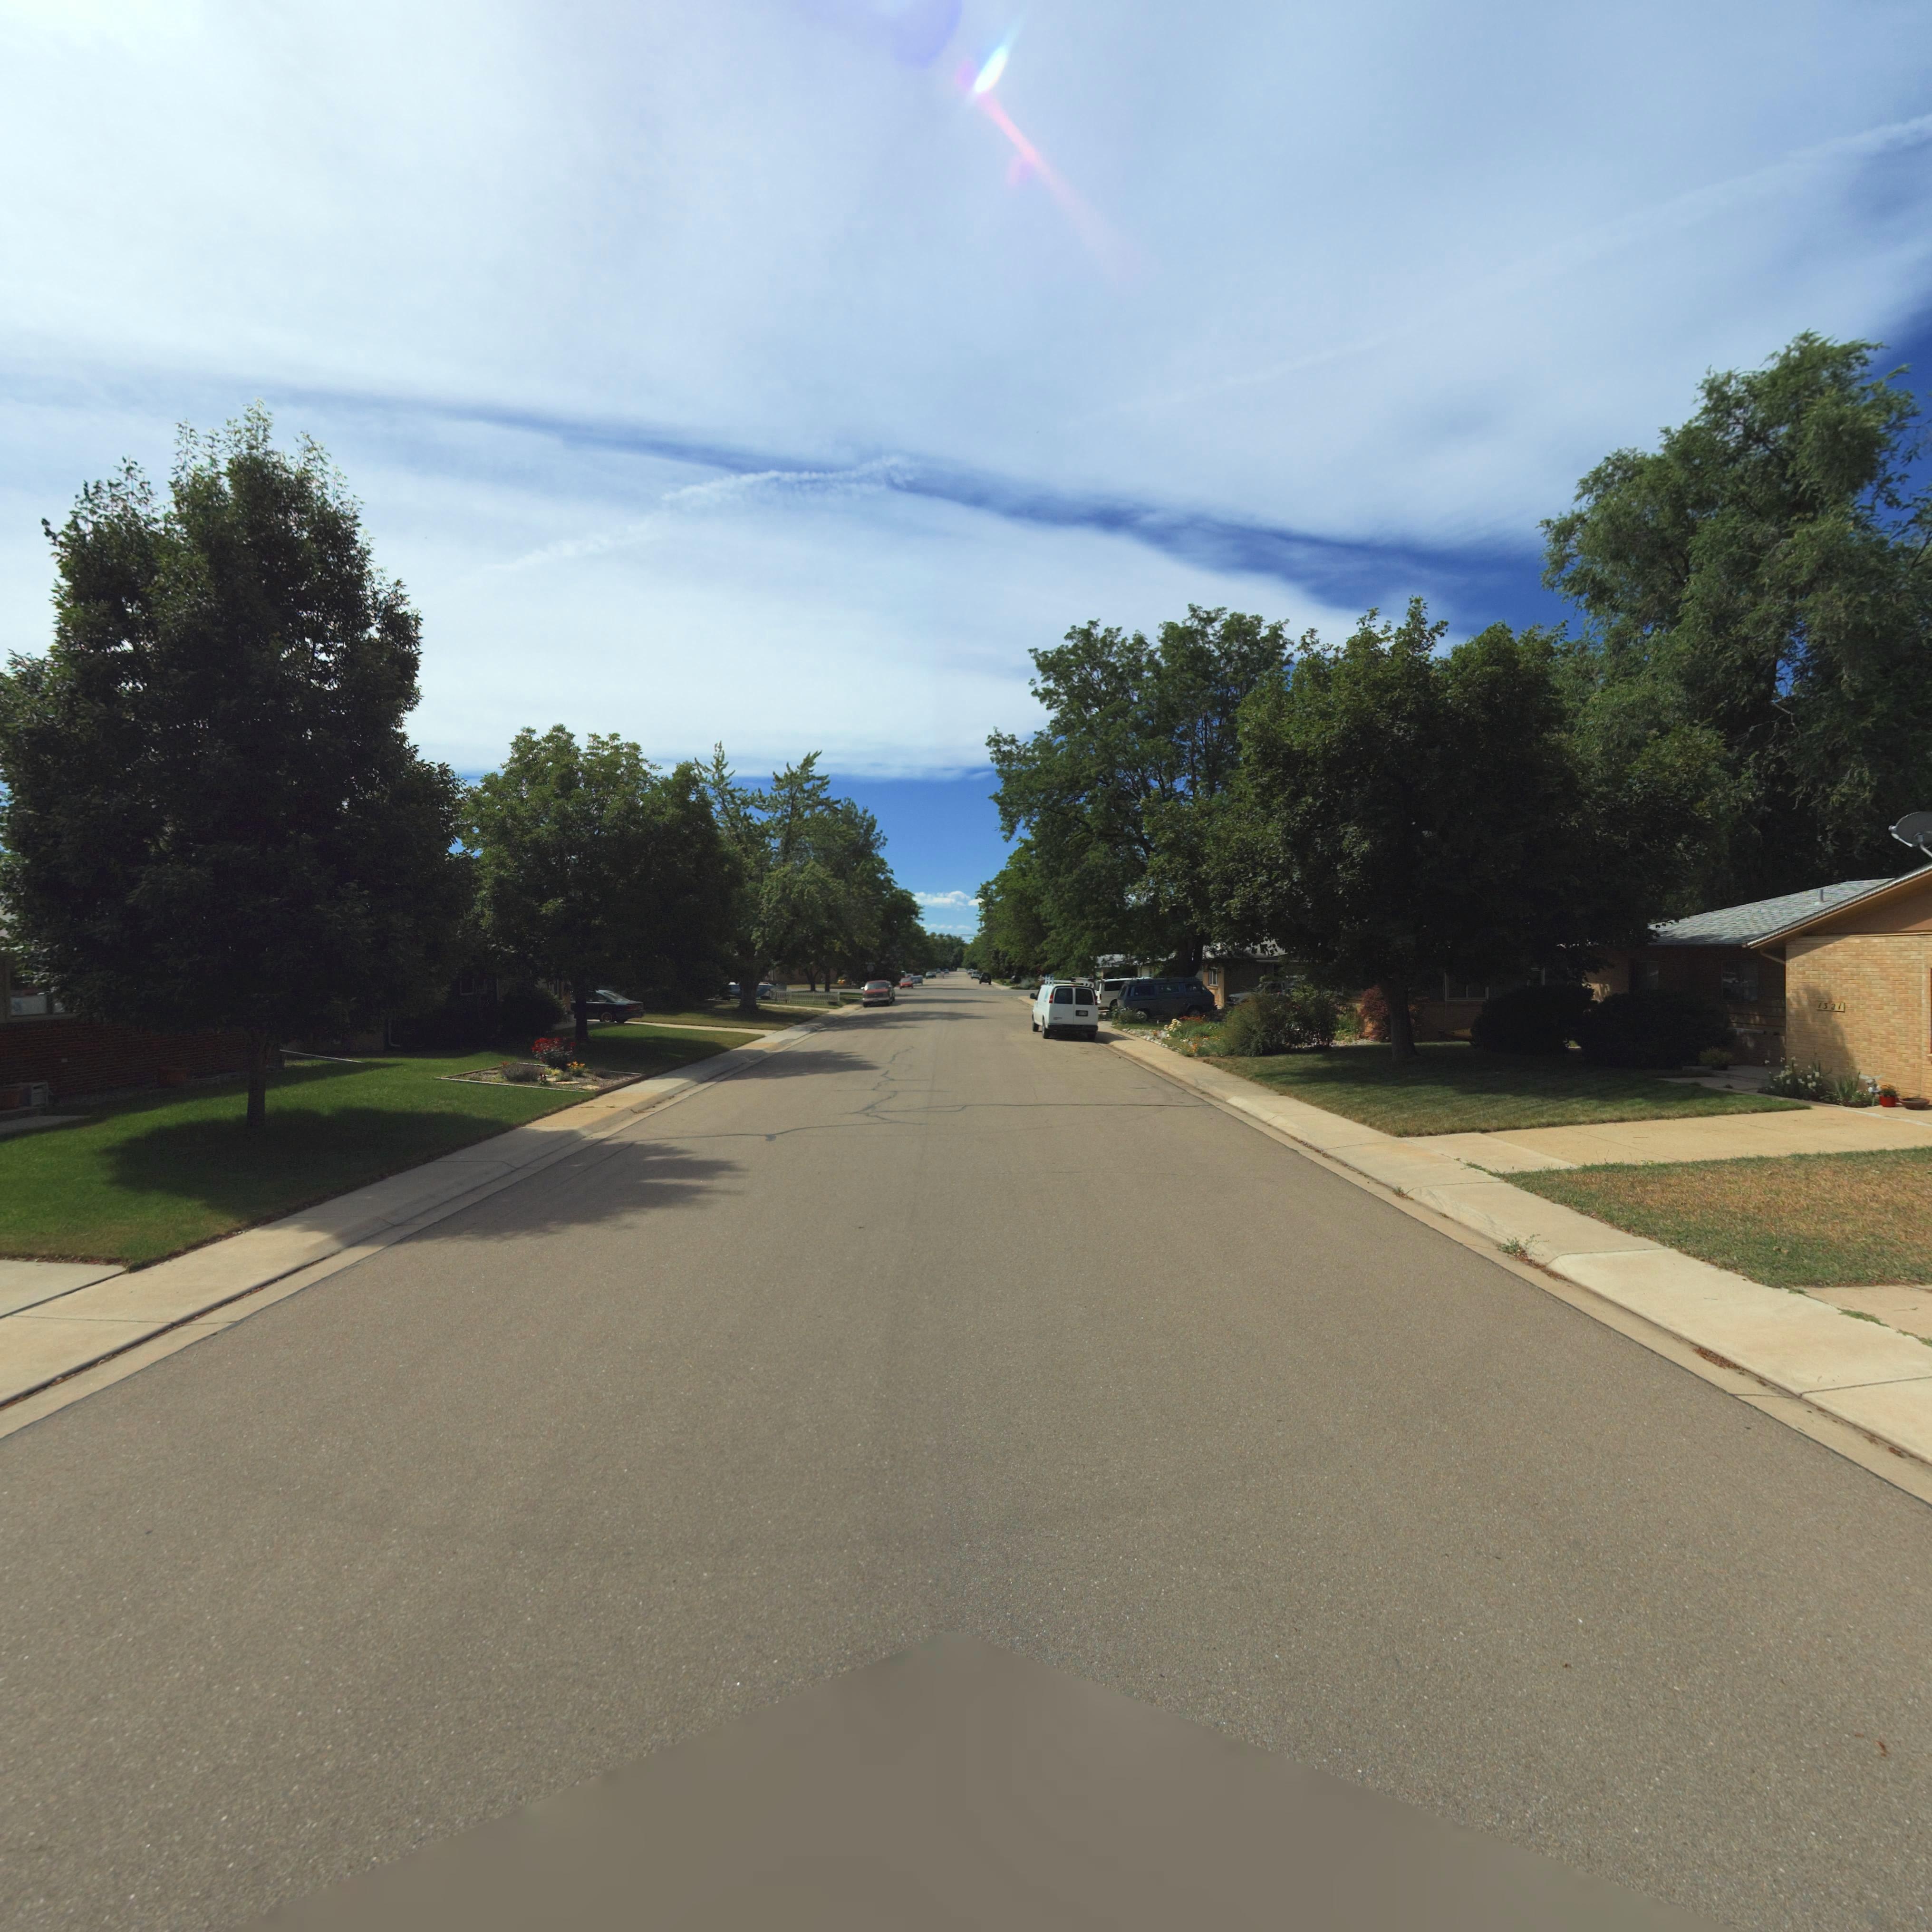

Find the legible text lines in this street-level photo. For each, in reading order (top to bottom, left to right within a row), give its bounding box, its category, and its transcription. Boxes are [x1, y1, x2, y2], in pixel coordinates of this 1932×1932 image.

[1818, 1002, 1841, 1010] StreetNumber: 1321